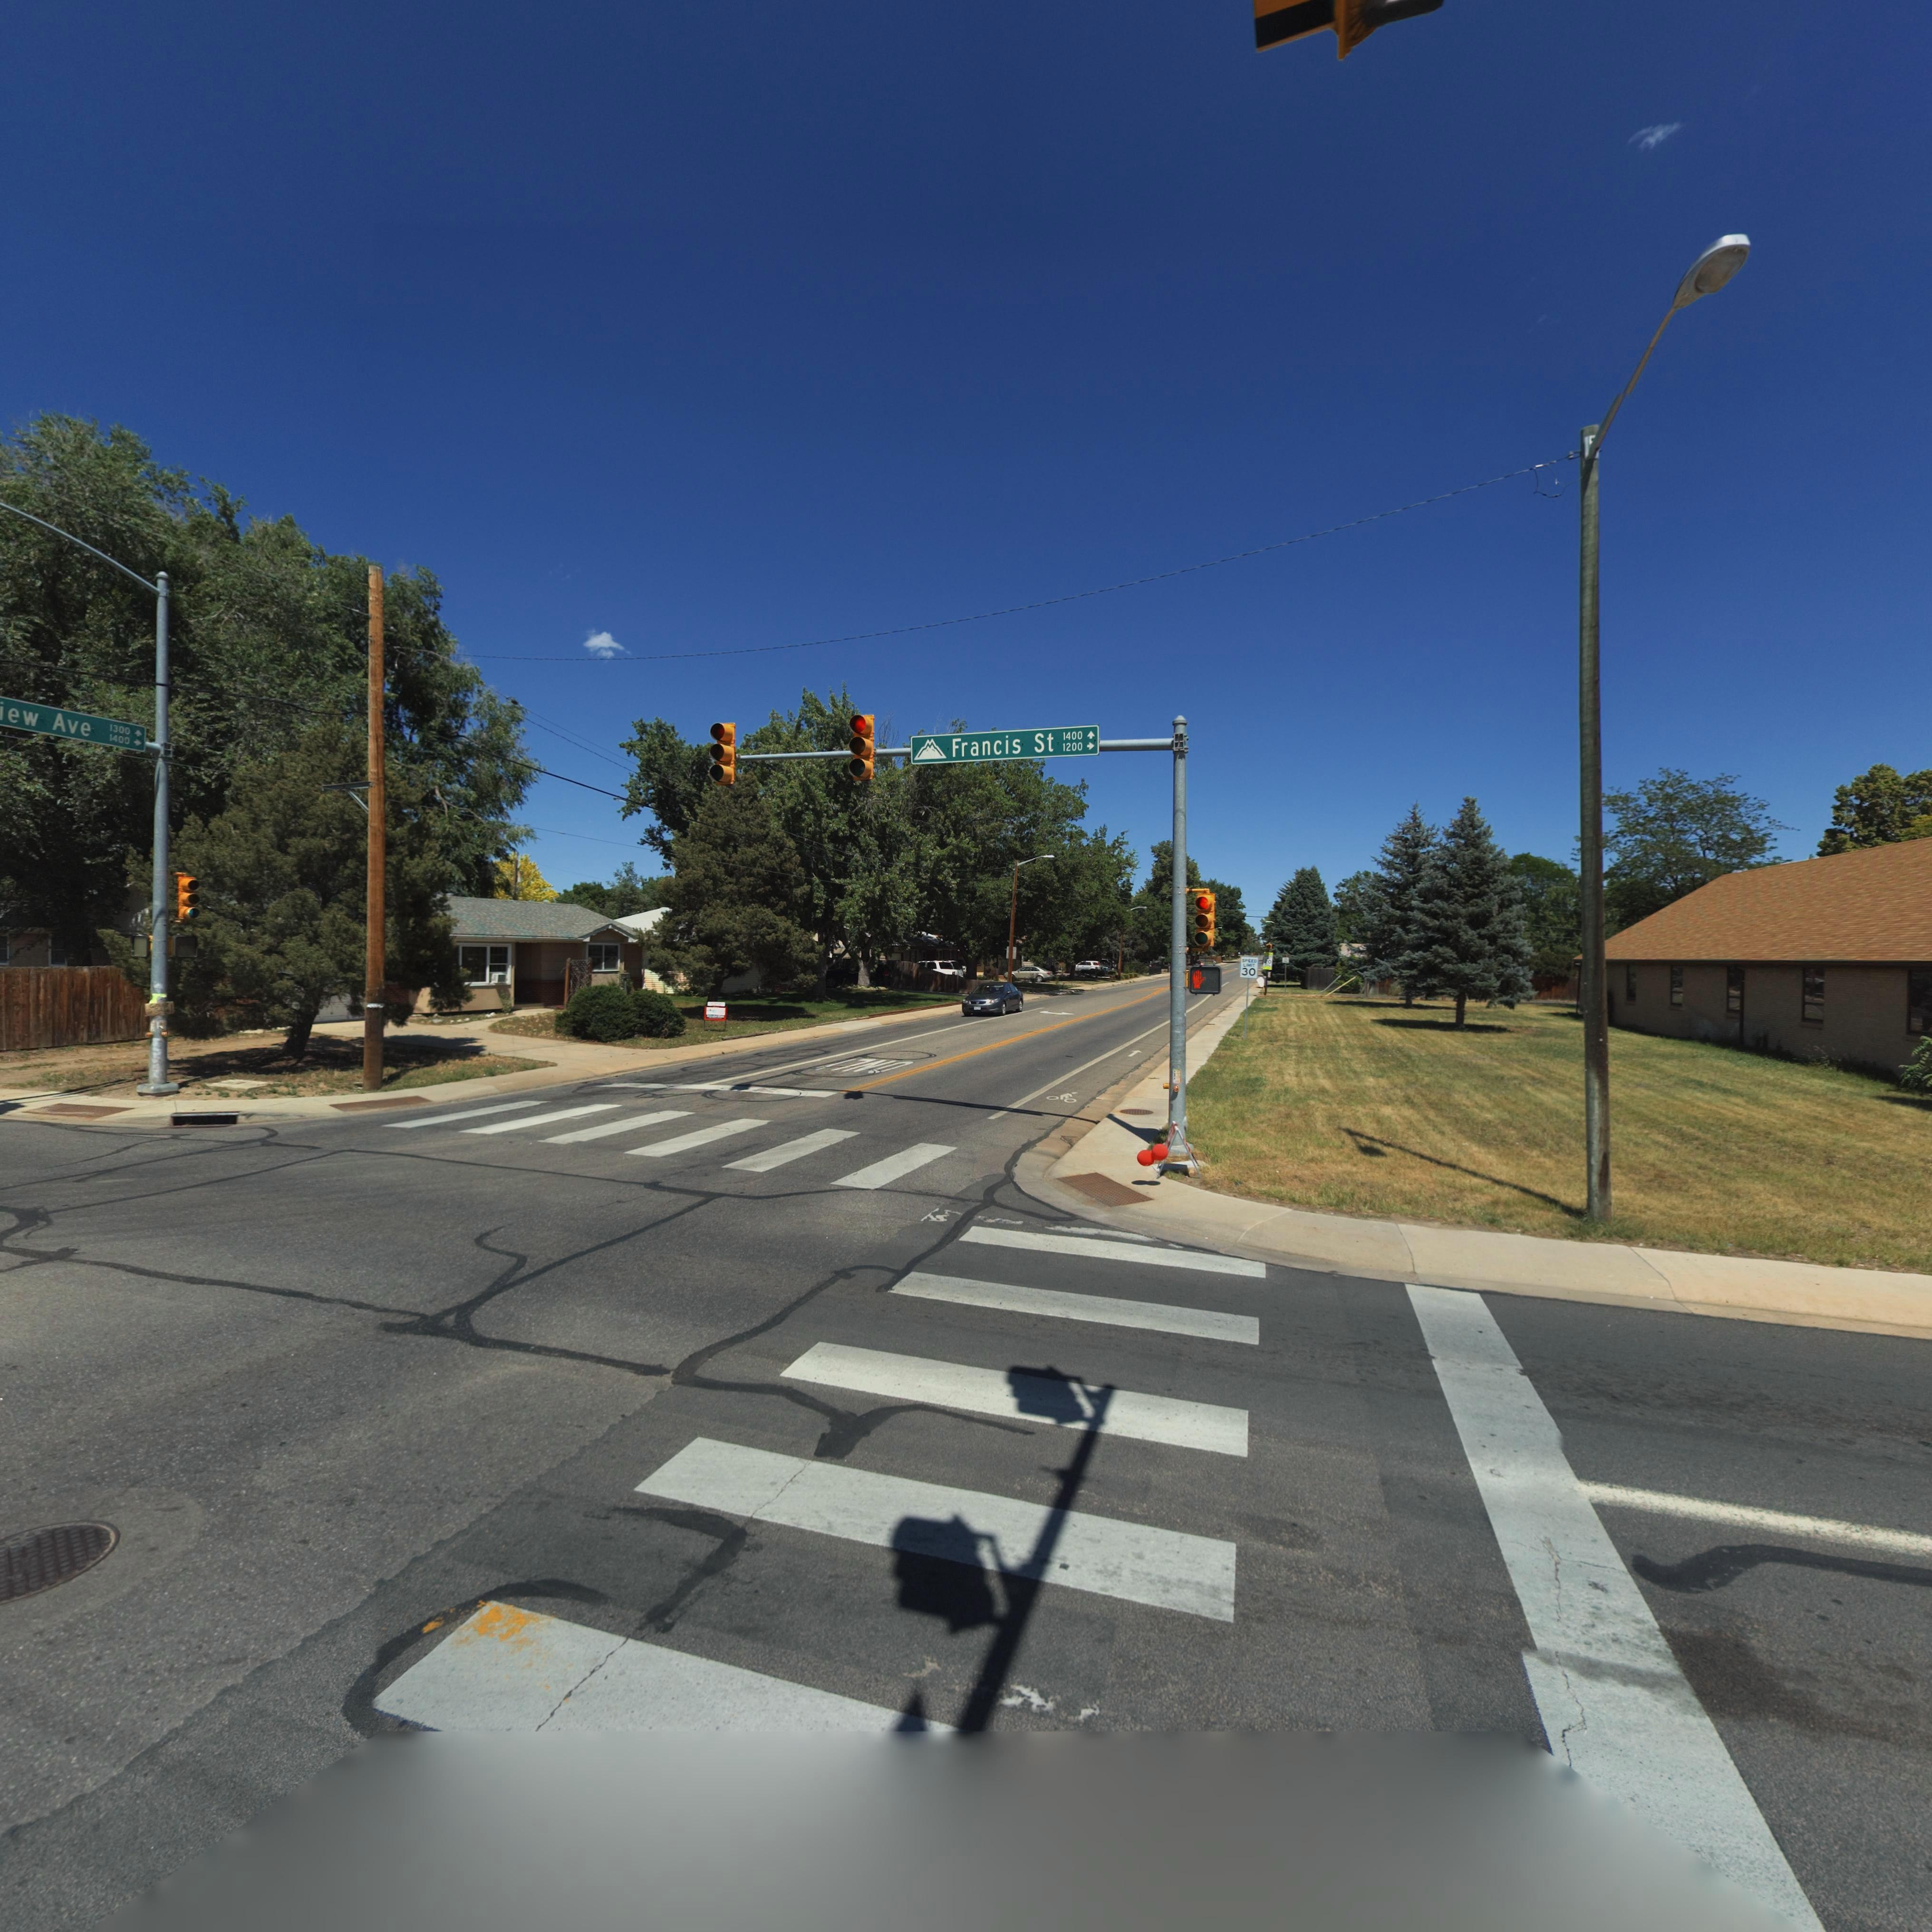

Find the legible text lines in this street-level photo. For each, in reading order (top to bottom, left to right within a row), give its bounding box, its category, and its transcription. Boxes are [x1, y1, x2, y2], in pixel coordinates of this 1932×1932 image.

[7, 707, 91, 736] StreetName: ew Ave
[109, 723, 131, 735] StreetNumberRange: 1300
[109, 733, 143, 746] StreetNumberRange: 1400->
[952, 732, 1054, 757] StreetName: Francis St
[1063, 730, 1082, 741] StreetName: 1400
[1062, 741, 1095, 751] StreetNumberRange: 1200->